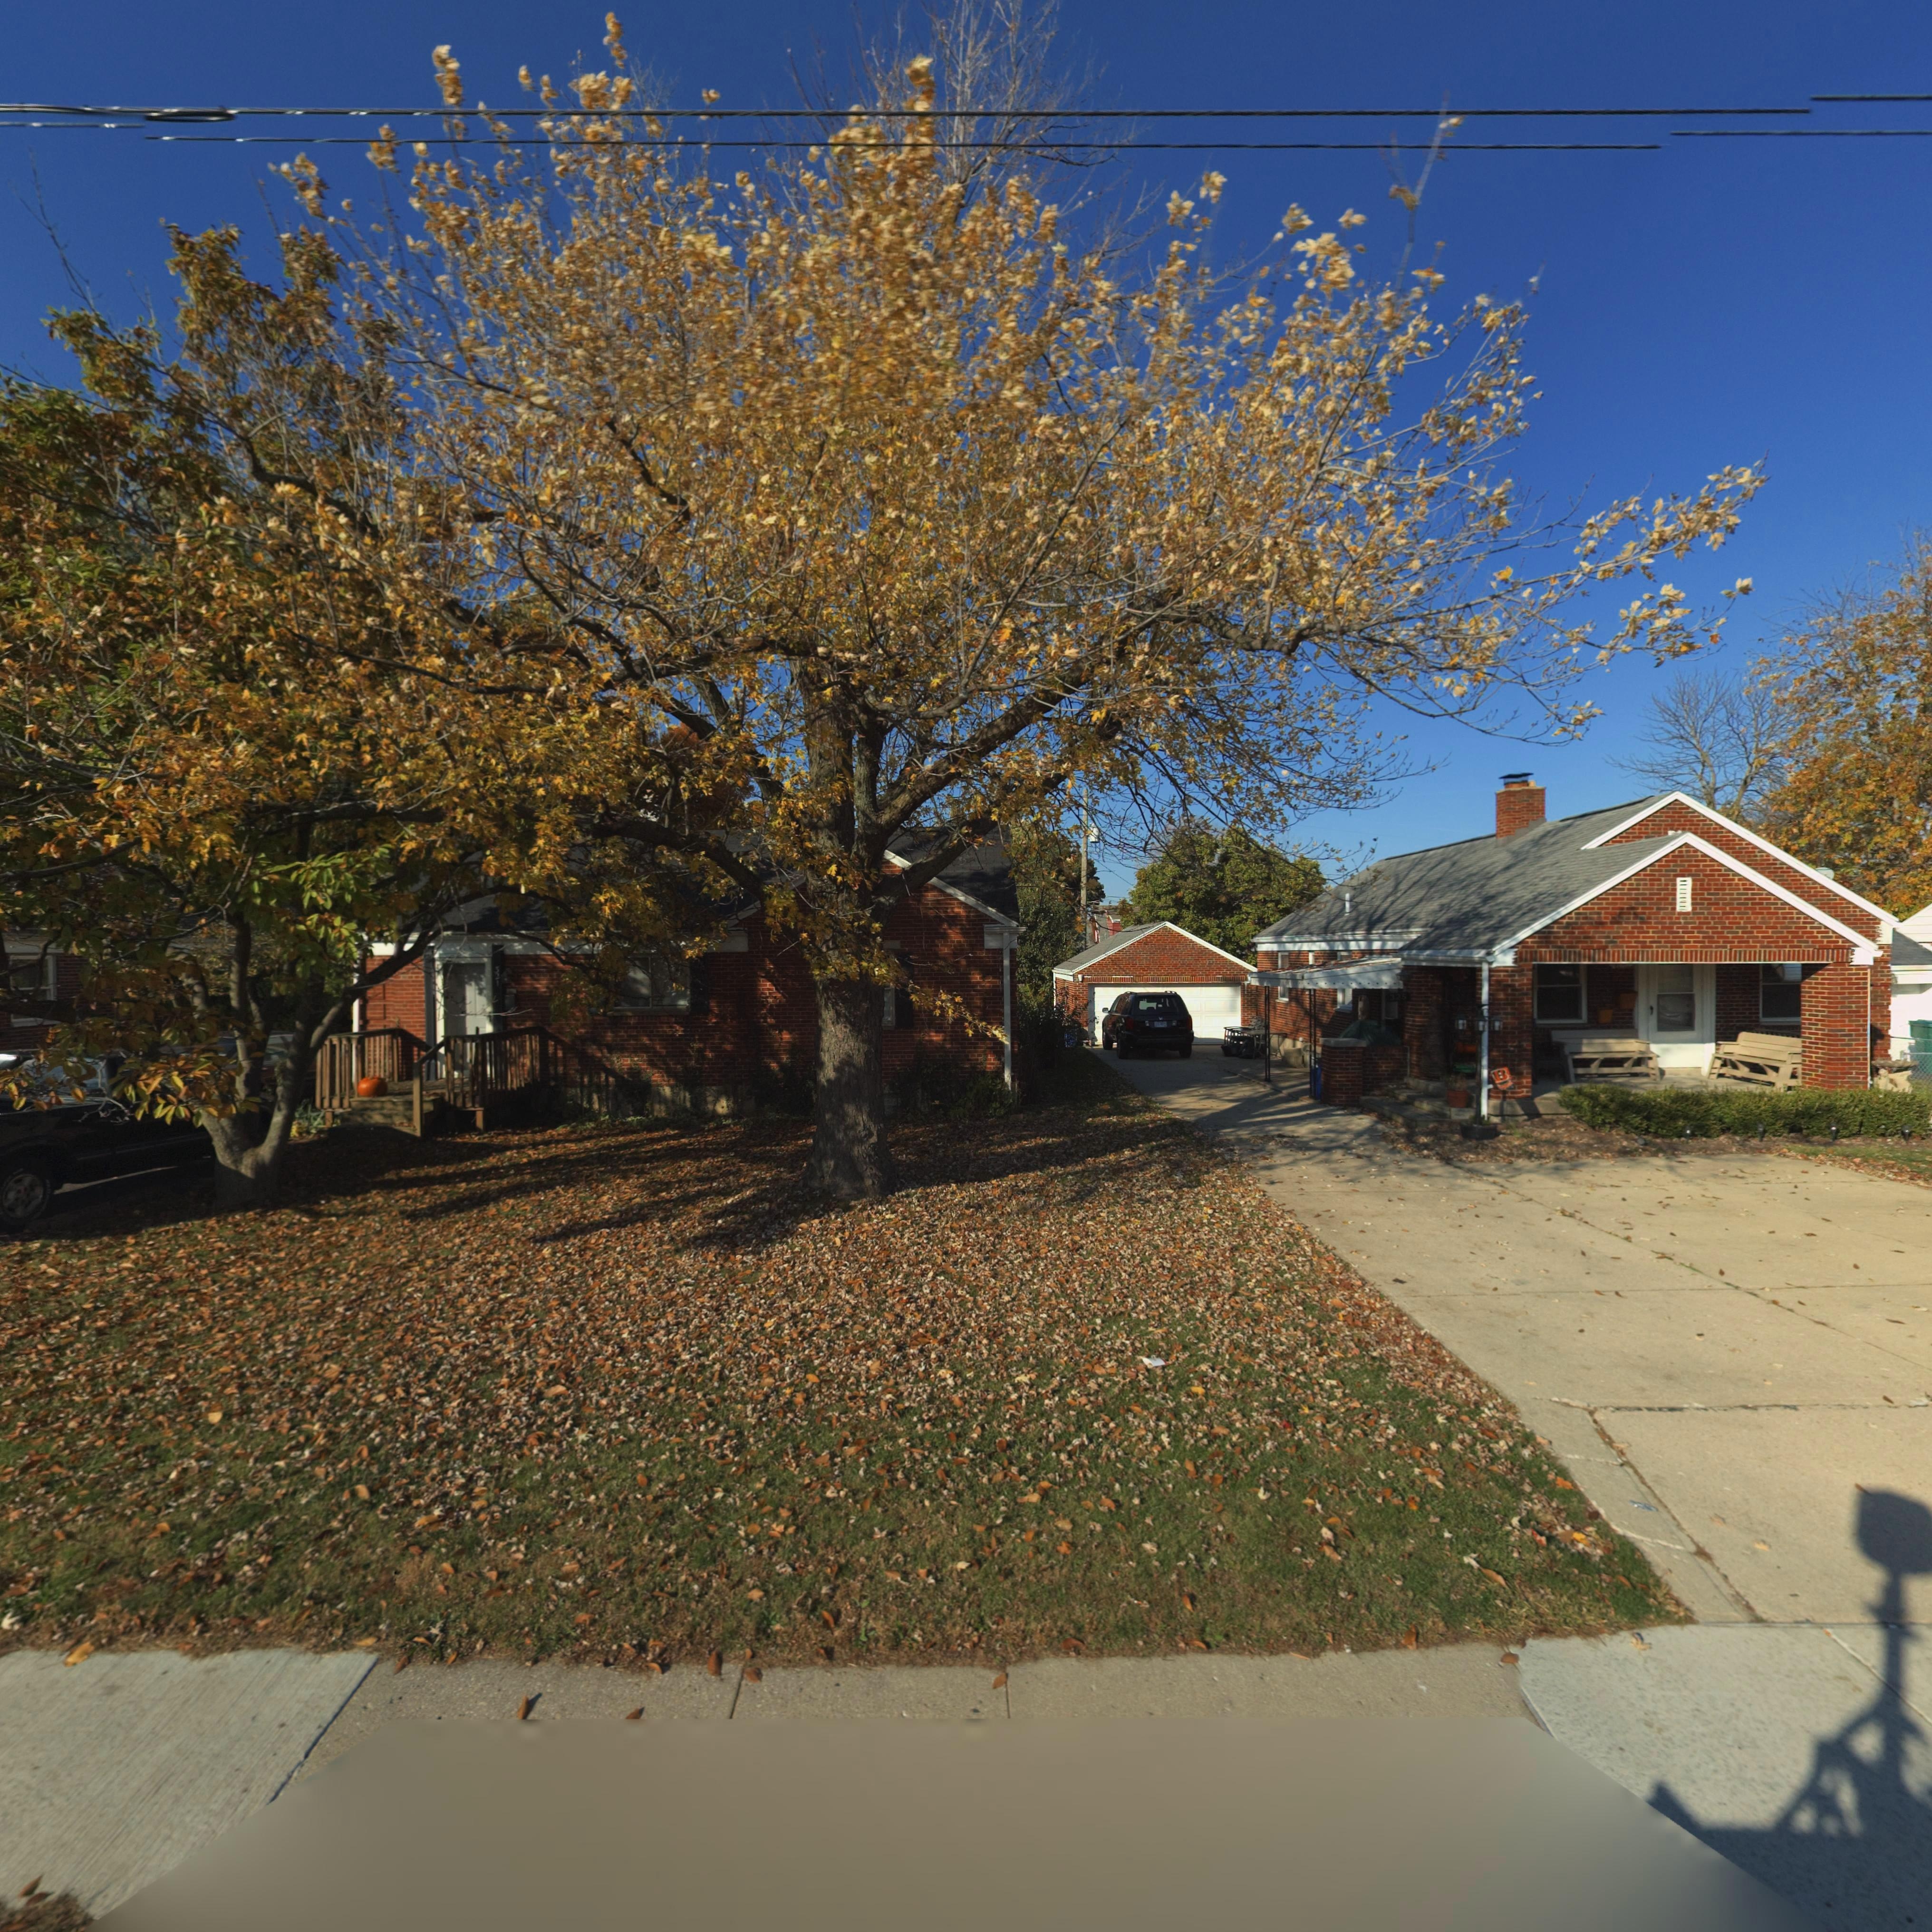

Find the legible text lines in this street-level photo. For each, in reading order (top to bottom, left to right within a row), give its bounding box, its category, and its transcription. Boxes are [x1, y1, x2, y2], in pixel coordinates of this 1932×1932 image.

[493, 965, 501, 988] StreetNumber: 321